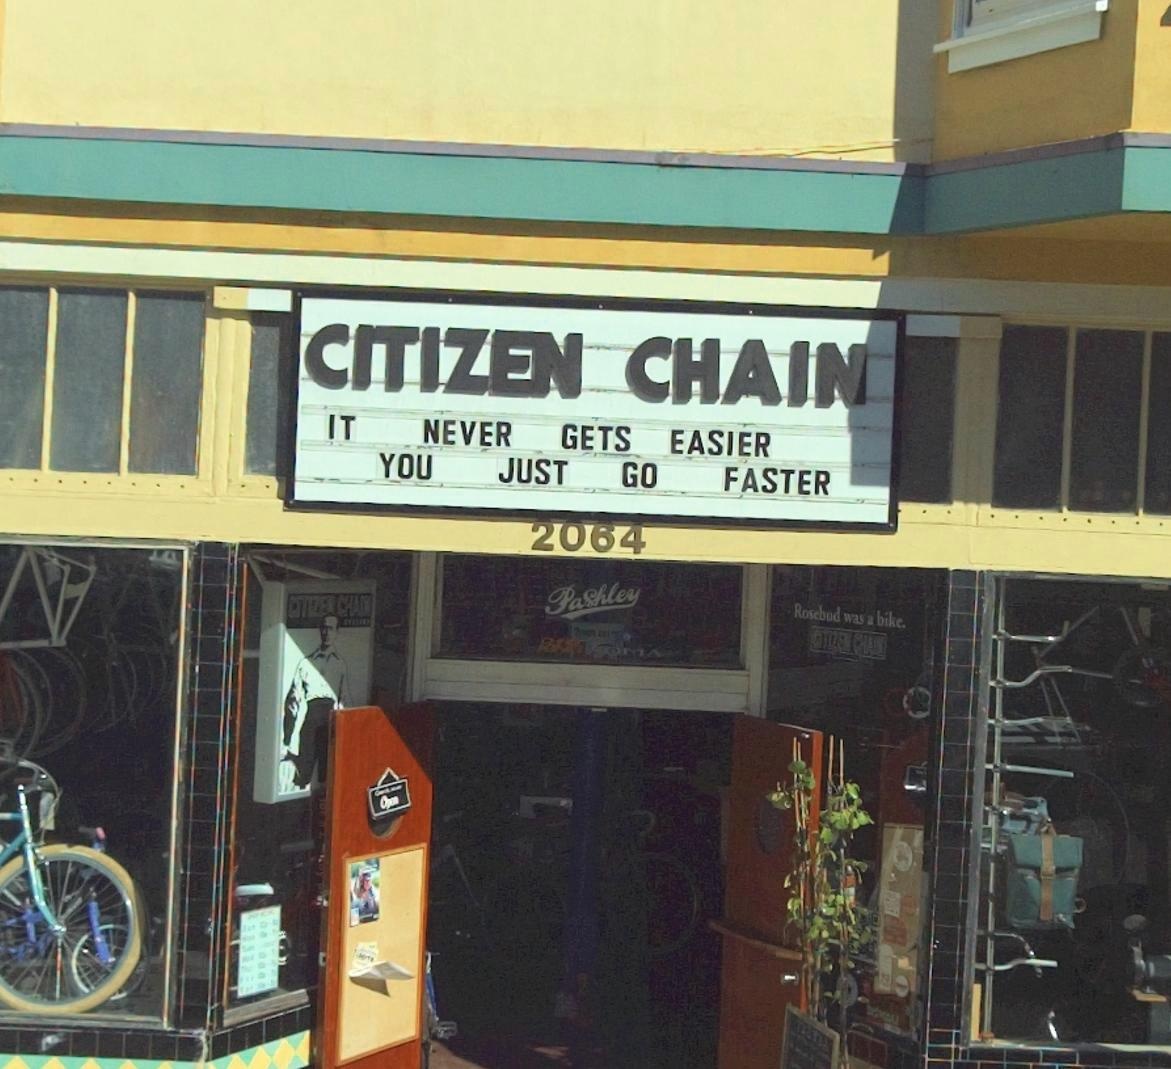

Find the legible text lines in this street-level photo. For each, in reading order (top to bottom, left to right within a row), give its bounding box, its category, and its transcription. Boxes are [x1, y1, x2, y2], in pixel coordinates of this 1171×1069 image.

[300, 321, 873, 413] BusinessName: CITIZEN CHAIN
[323, 412, 774, 462] None: IT NEVER GETS EASIER
[376, 449, 832, 498] None: YOU JUST GO FASTER
[525, 513, 651, 557] StreetNumber: 2064
[285, 594, 373, 619] BusinessName: CITIZEN CHAIN
[542, 580, 643, 616] None: Pashey
[791, 601, 908, 631] None: Rosebud was a bike.
[588, 643, 667, 659] None: SOMA
[810, 628, 885, 657] BusinessName: CITIZEN CHAIN
[378, 794, 400, 811] None: Open